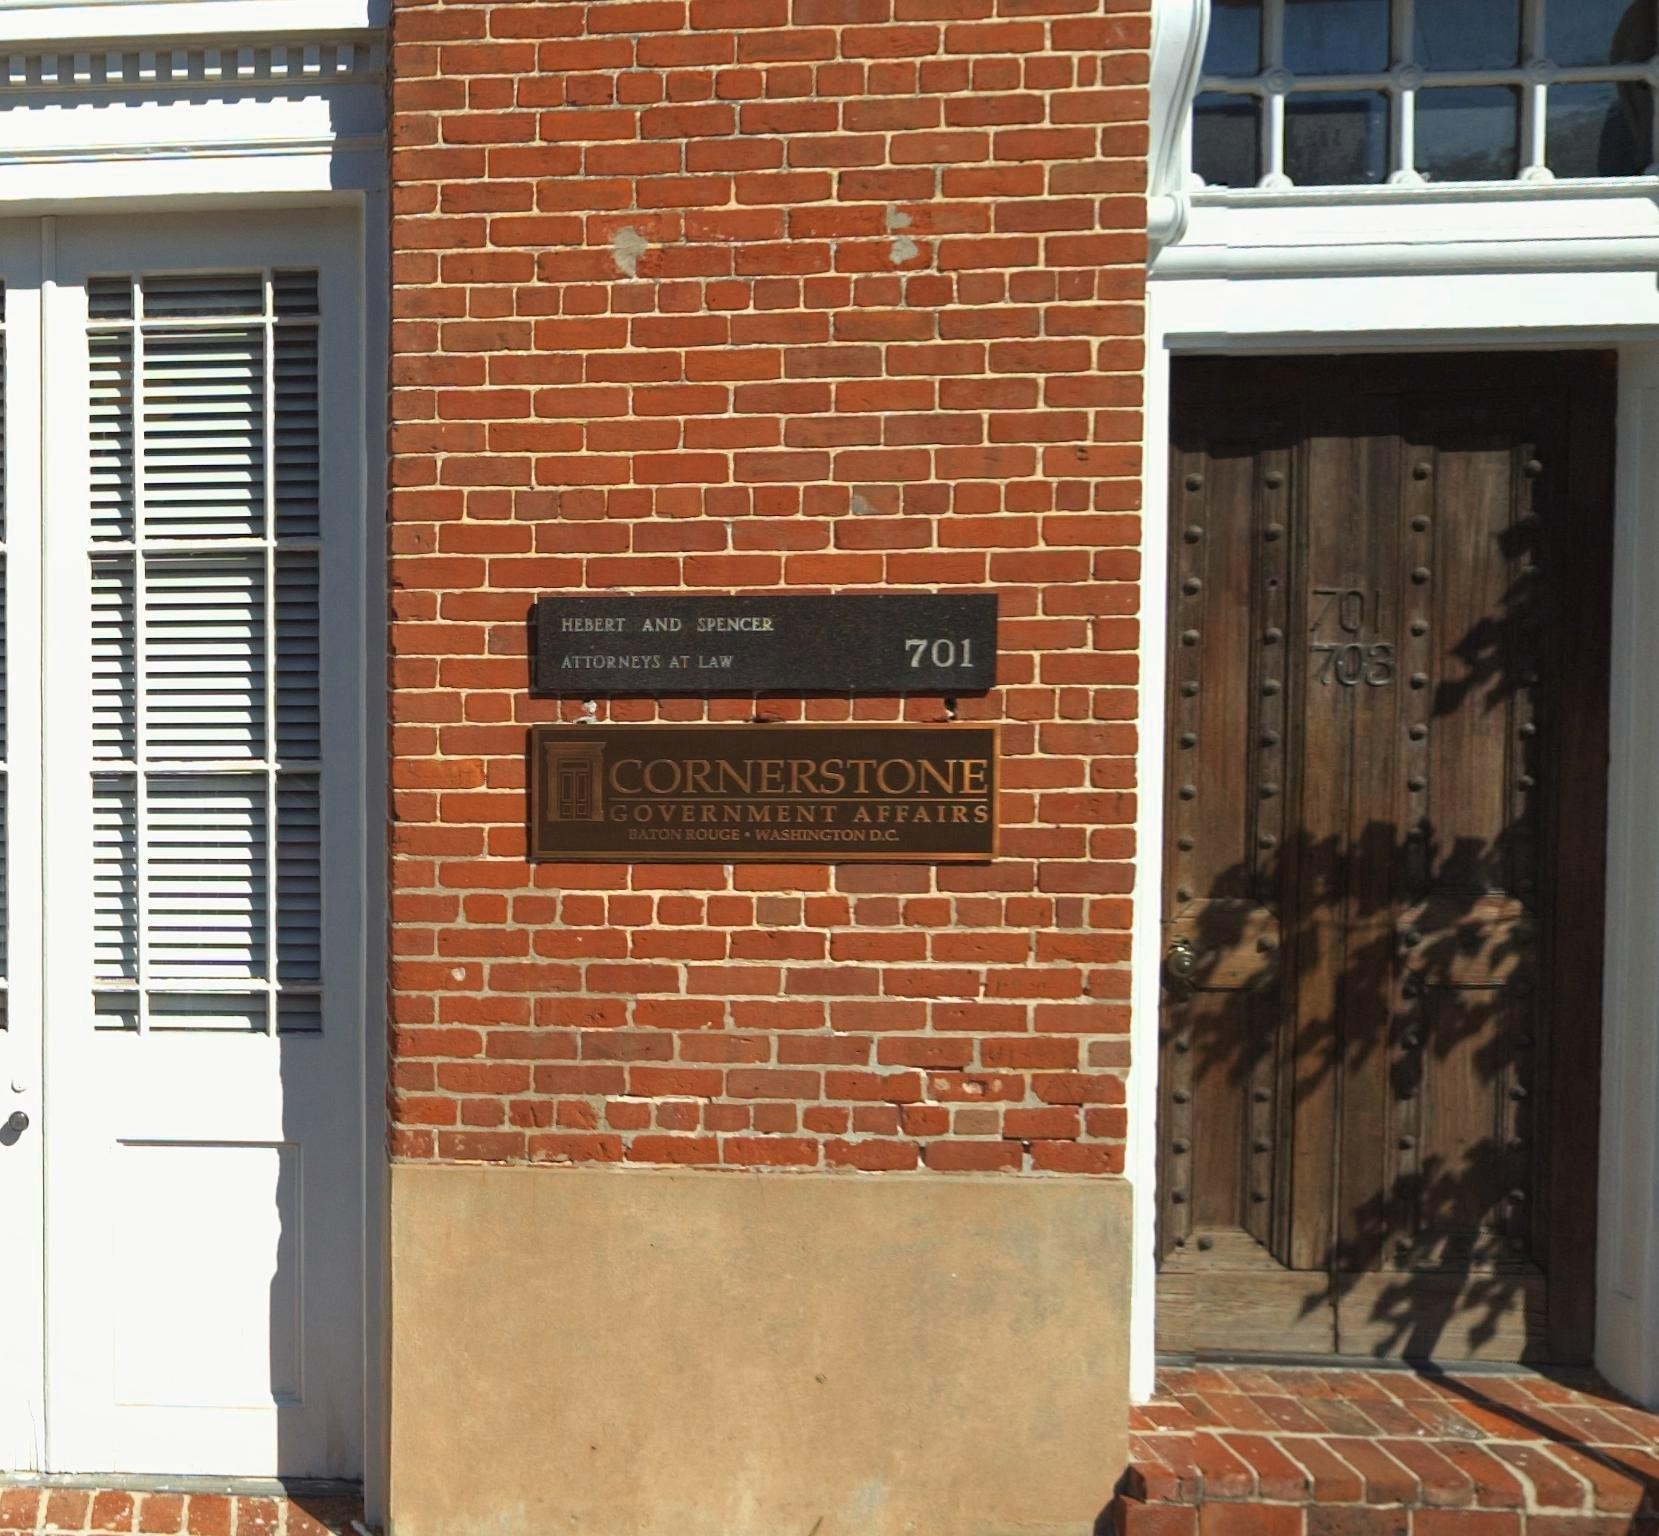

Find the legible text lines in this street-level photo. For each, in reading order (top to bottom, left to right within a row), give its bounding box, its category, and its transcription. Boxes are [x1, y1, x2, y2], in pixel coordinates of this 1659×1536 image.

[559, 614, 778, 635] None: HERBERT AND SPENCER
[1308, 582, 1388, 639] StreetNumber: 701
[557, 652, 739, 671] None: ATTORNEY'S AT LAW
[903, 635, 978, 671] StreetNumber: 701
[1306, 638, 1404, 690] StreetNumber: 703
[604, 755, 992, 797] BusinessName: CORNERSTONE
[606, 802, 991, 826] None: GOVERNMENT AFFAIRS
[626, 826, 903, 844] None: BATON ROUGE * WASHINGTON D.C.